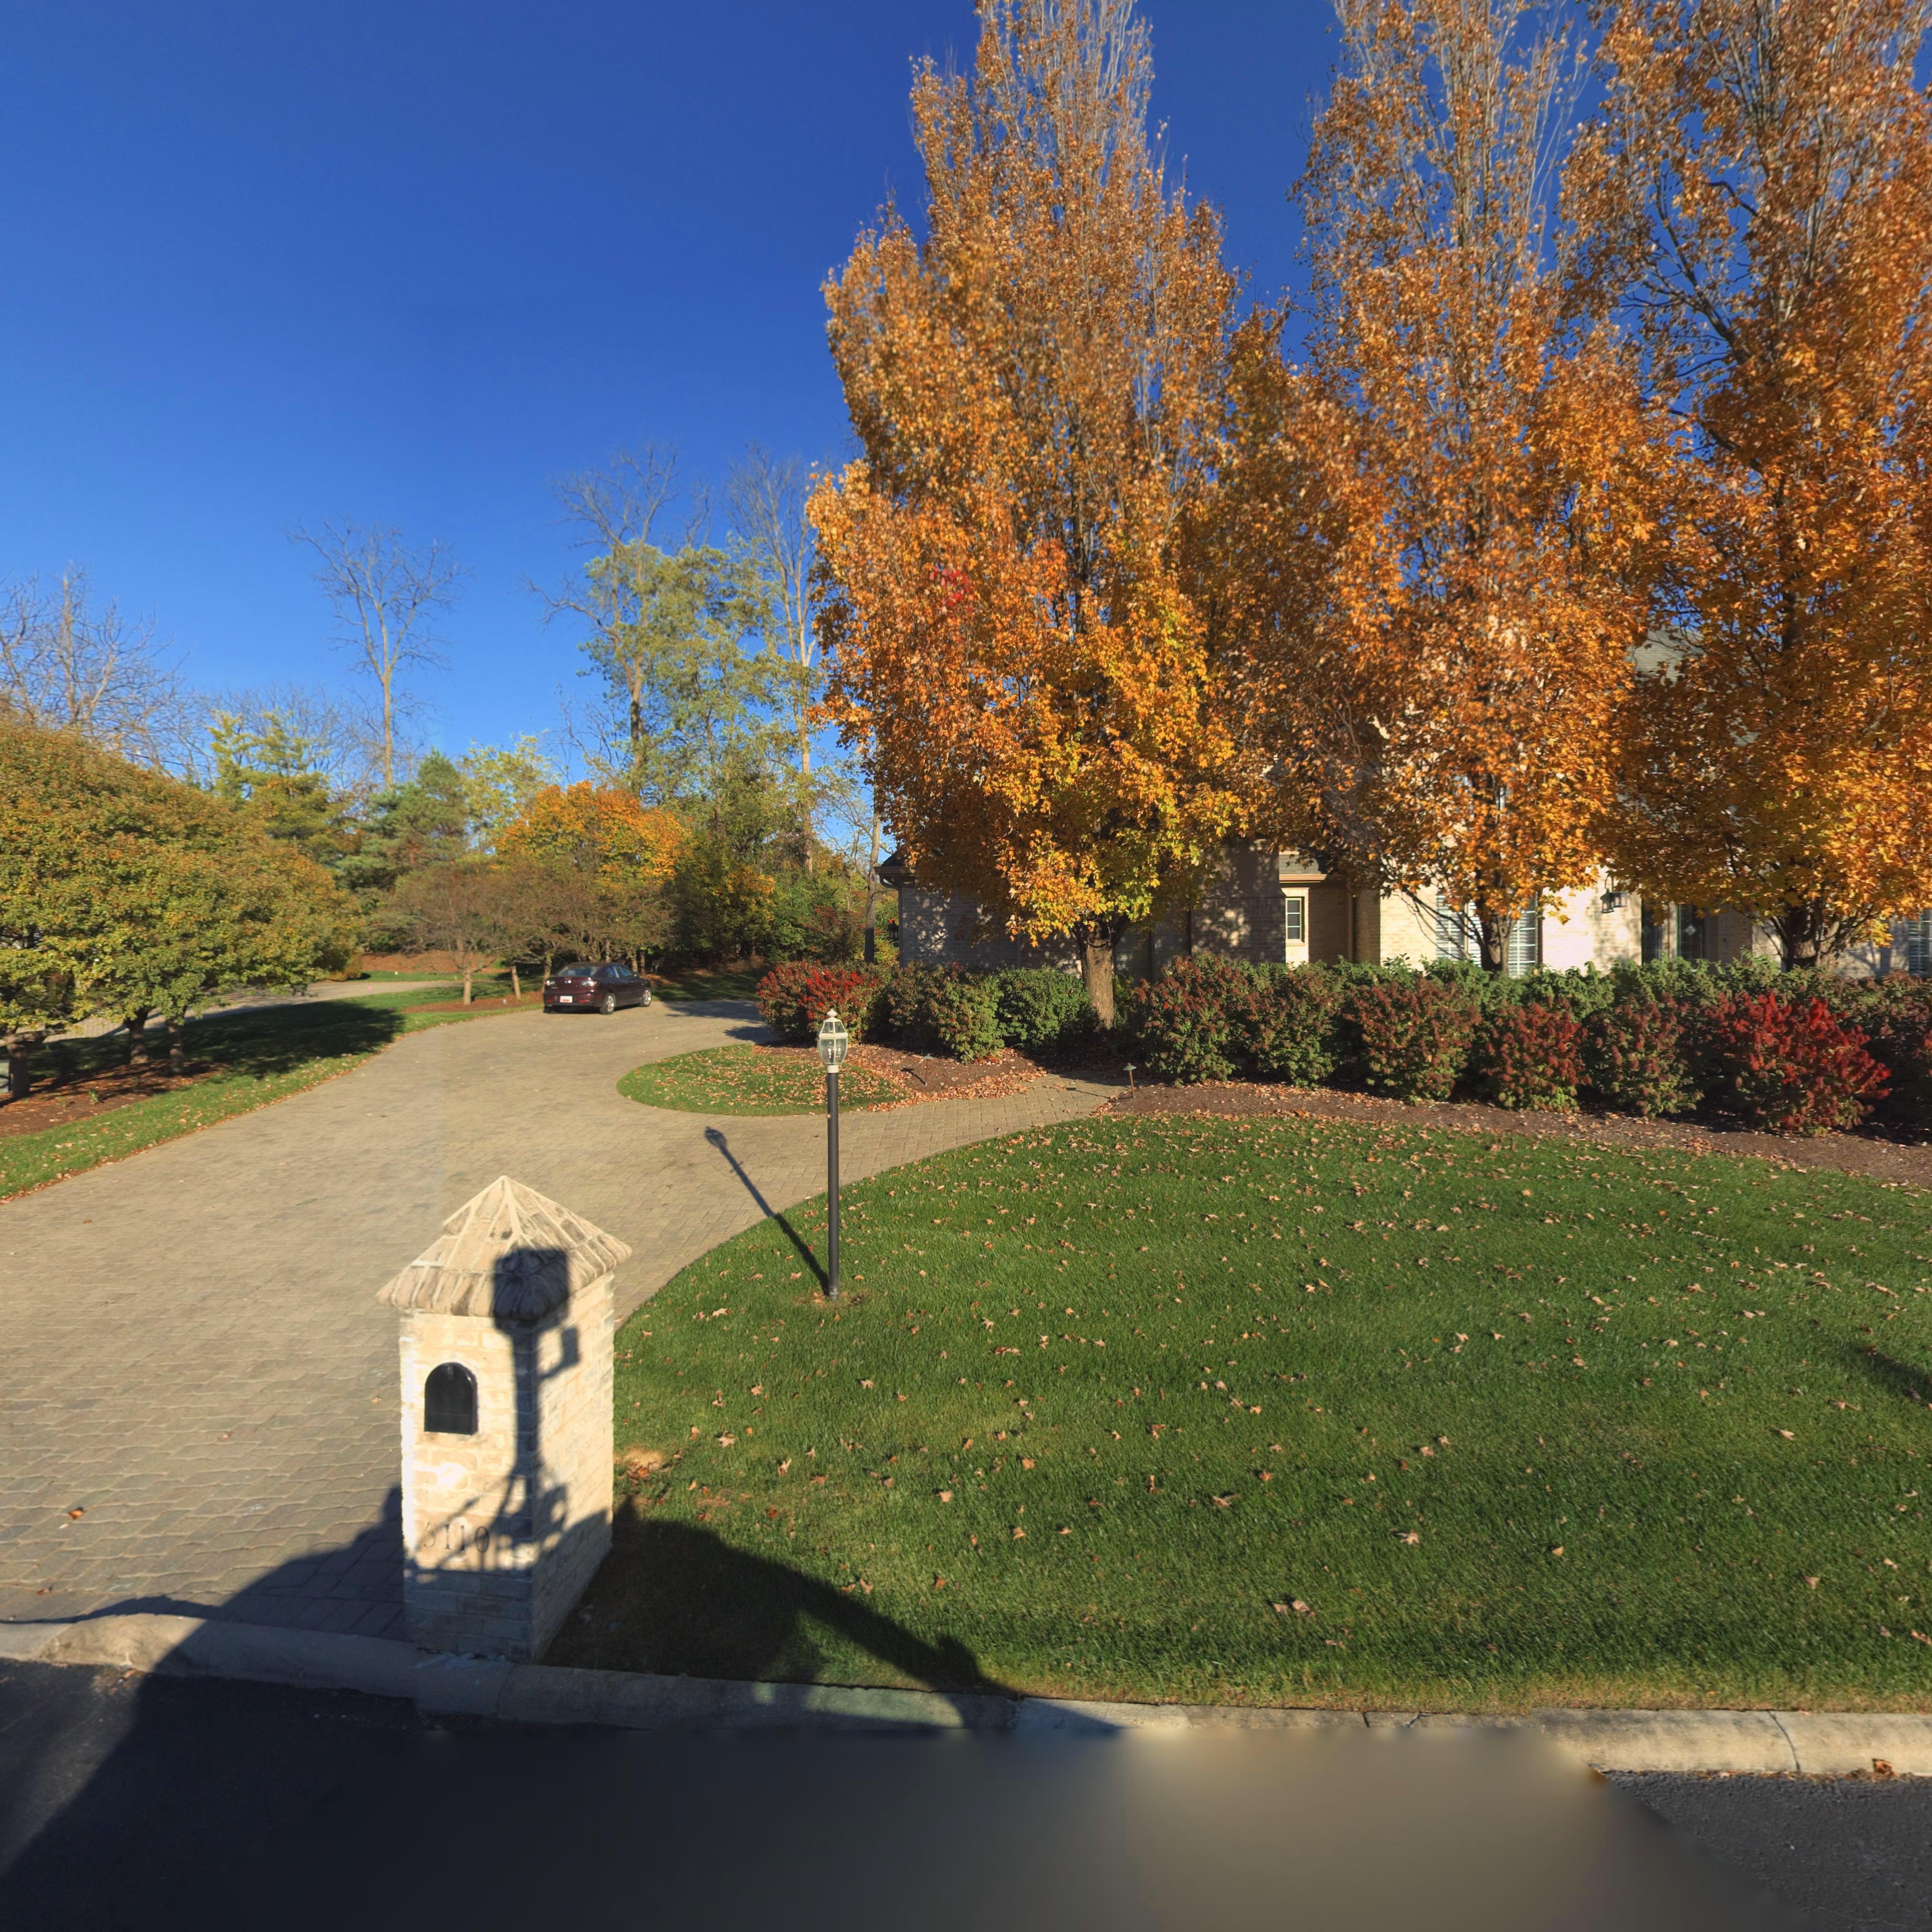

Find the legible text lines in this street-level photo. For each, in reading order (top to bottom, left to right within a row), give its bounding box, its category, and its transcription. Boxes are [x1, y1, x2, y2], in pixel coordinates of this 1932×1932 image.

[418, 1517, 495, 1556] StreetNumber: 5110